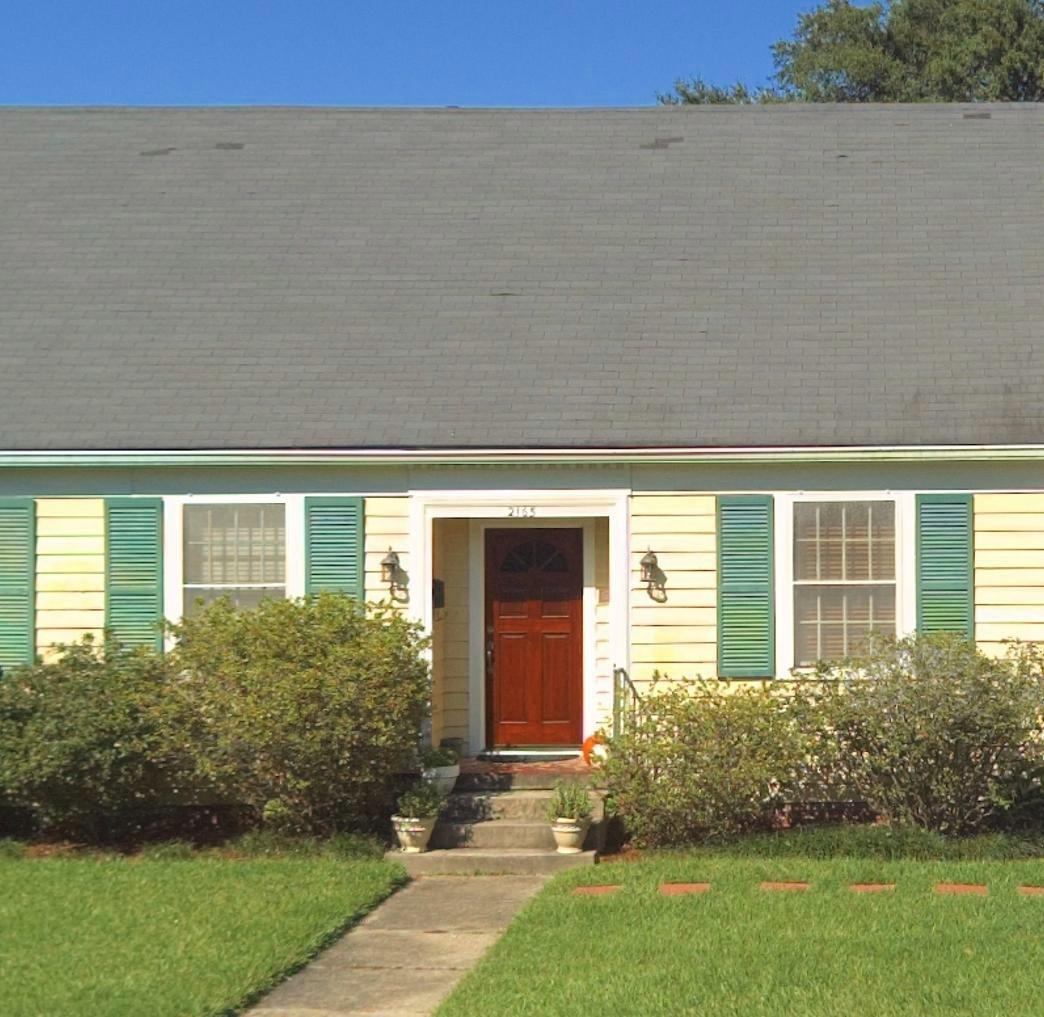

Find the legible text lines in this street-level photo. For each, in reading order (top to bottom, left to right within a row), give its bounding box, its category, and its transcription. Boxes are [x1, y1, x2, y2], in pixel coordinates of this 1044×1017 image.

[506, 506, 537, 517] StreetNumber: 2165